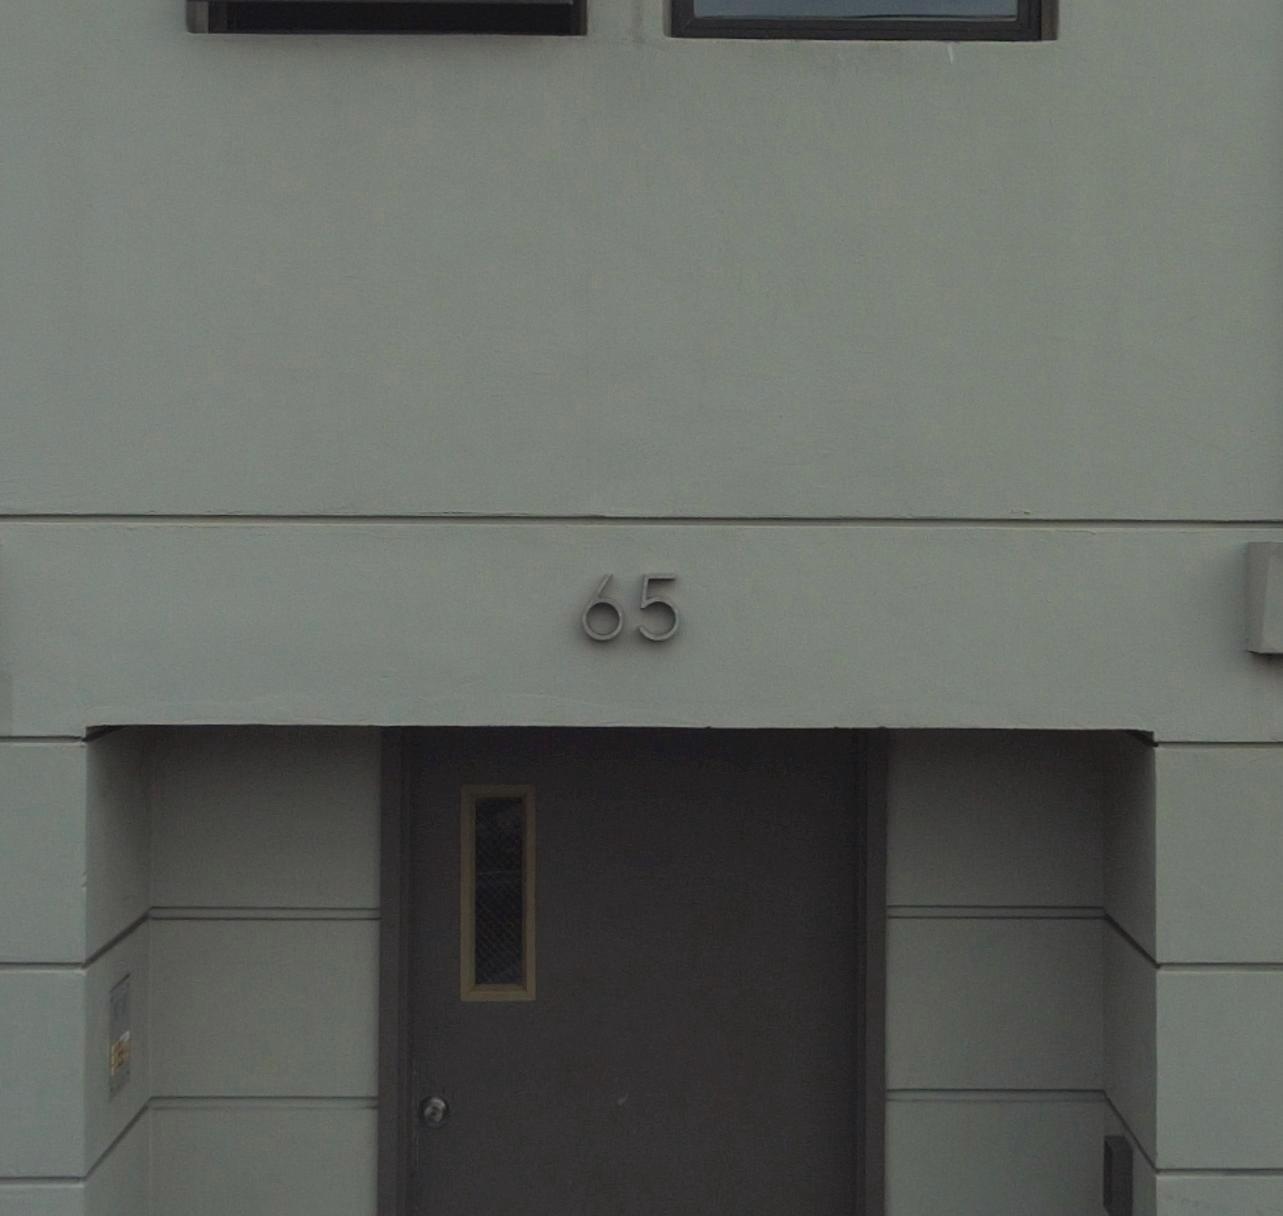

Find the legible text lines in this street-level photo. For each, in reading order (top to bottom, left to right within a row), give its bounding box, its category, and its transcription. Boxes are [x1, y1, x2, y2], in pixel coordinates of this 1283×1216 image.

[579, 570, 683, 644] StreetNumber: 65